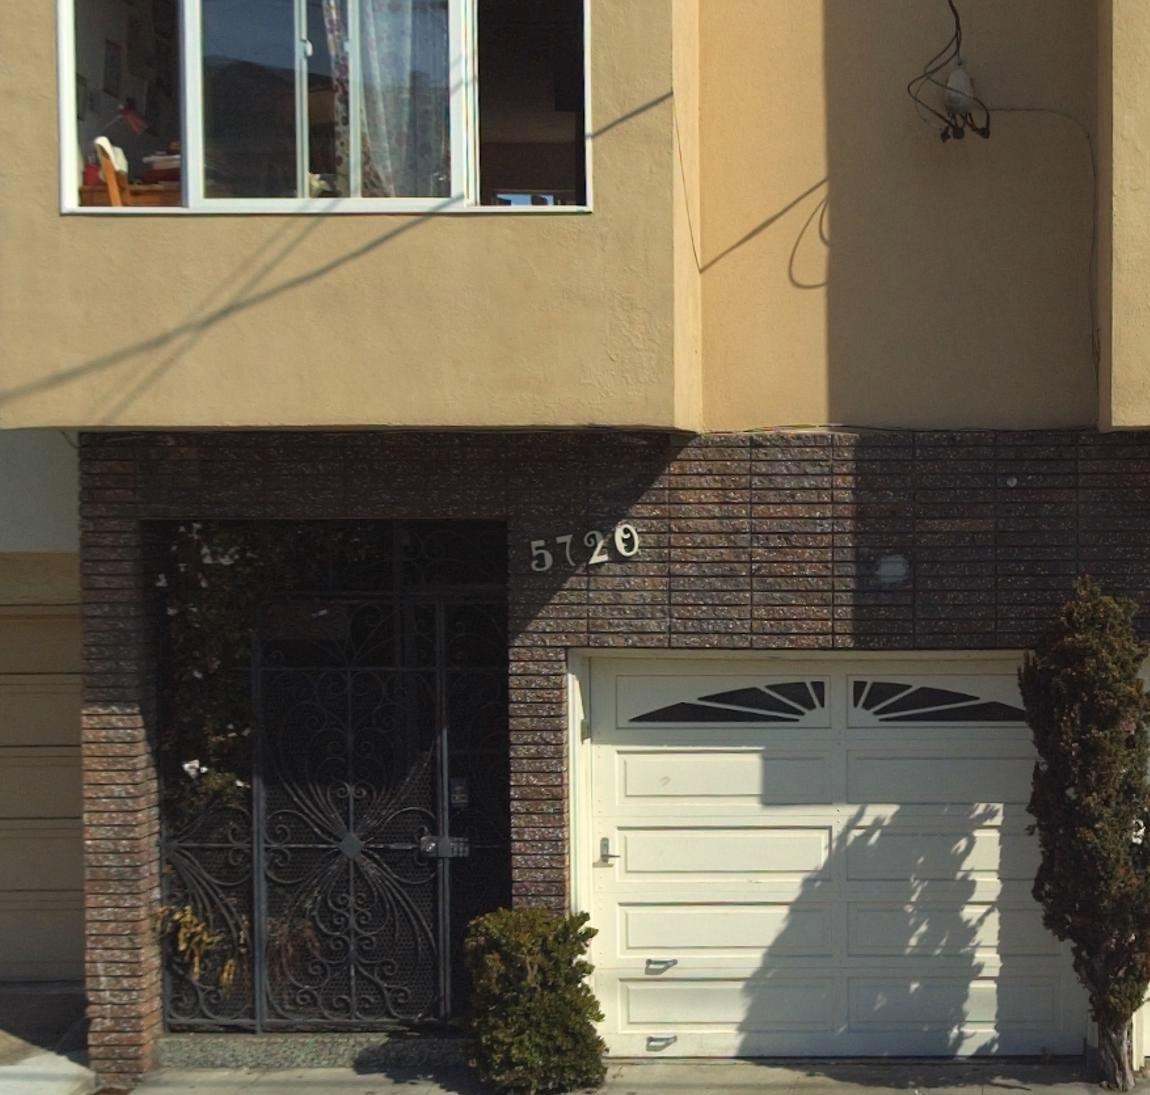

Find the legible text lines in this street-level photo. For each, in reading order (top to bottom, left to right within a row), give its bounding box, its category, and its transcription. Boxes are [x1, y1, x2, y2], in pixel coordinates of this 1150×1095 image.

[522, 510, 649, 582] StreetNumber: 5720